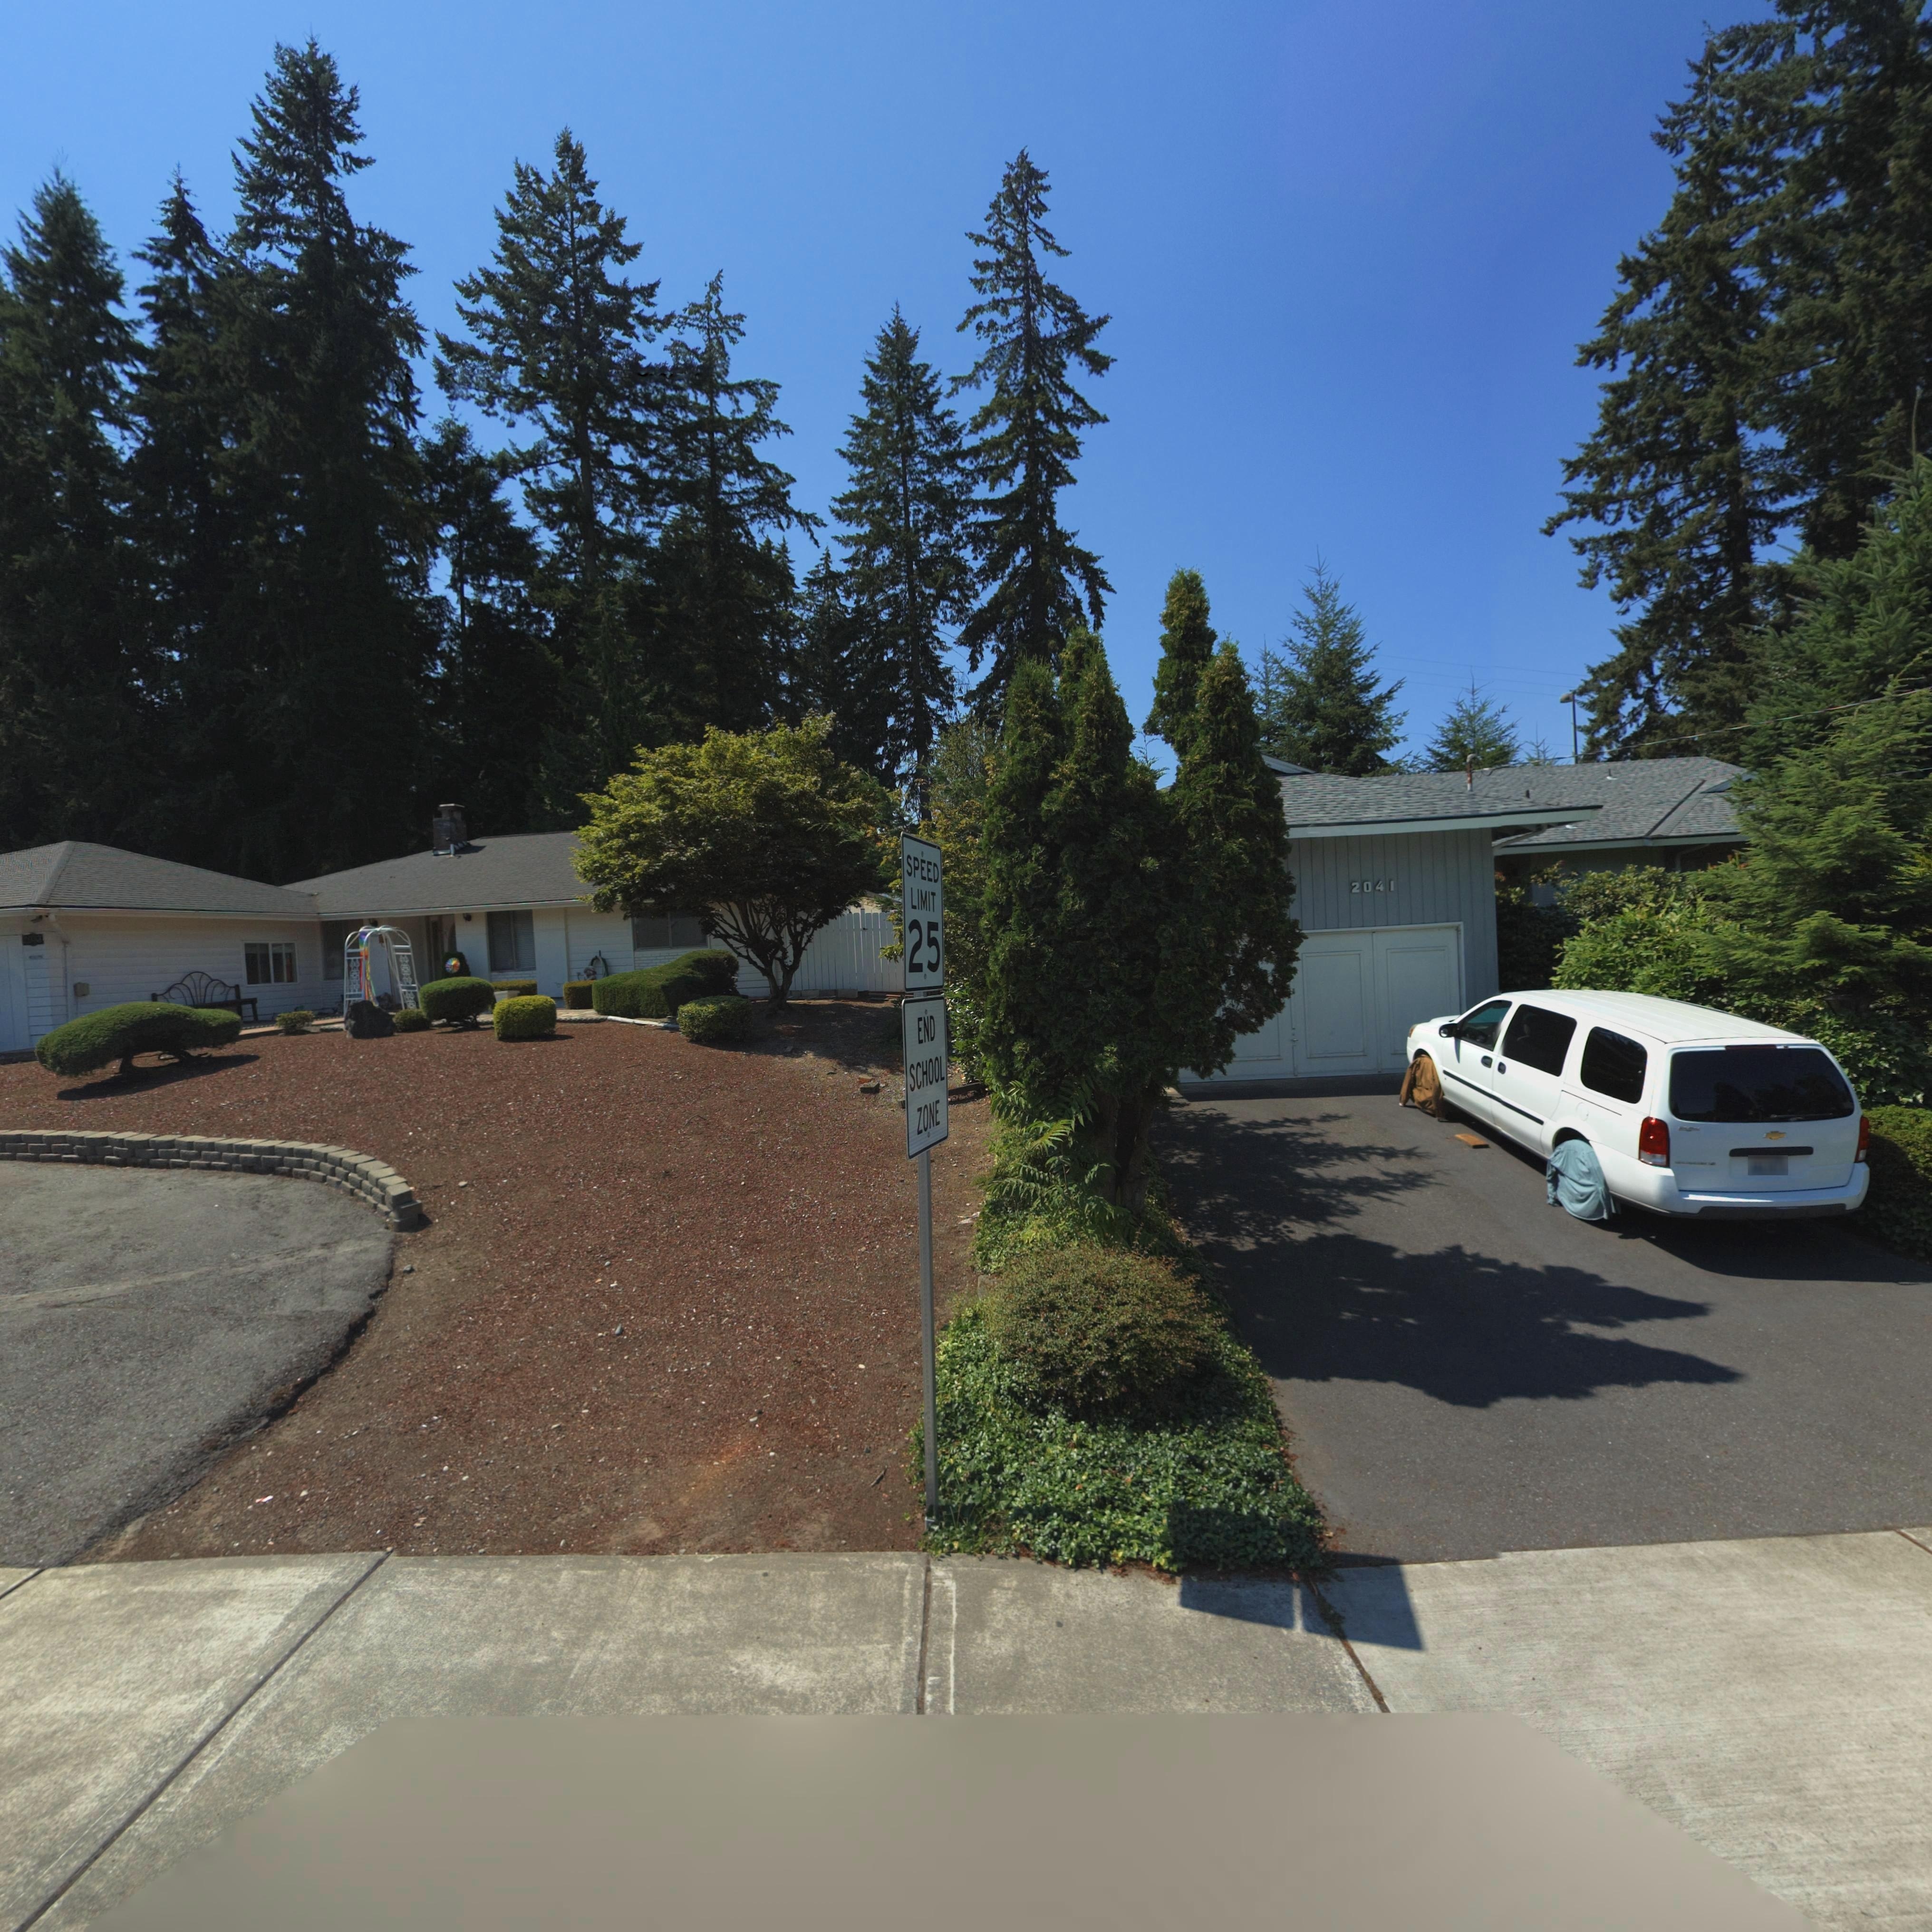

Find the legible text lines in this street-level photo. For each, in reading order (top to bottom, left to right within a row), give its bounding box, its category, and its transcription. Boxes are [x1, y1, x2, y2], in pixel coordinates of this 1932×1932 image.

[1352, 881, 1394, 893] StreetNumber: 2041